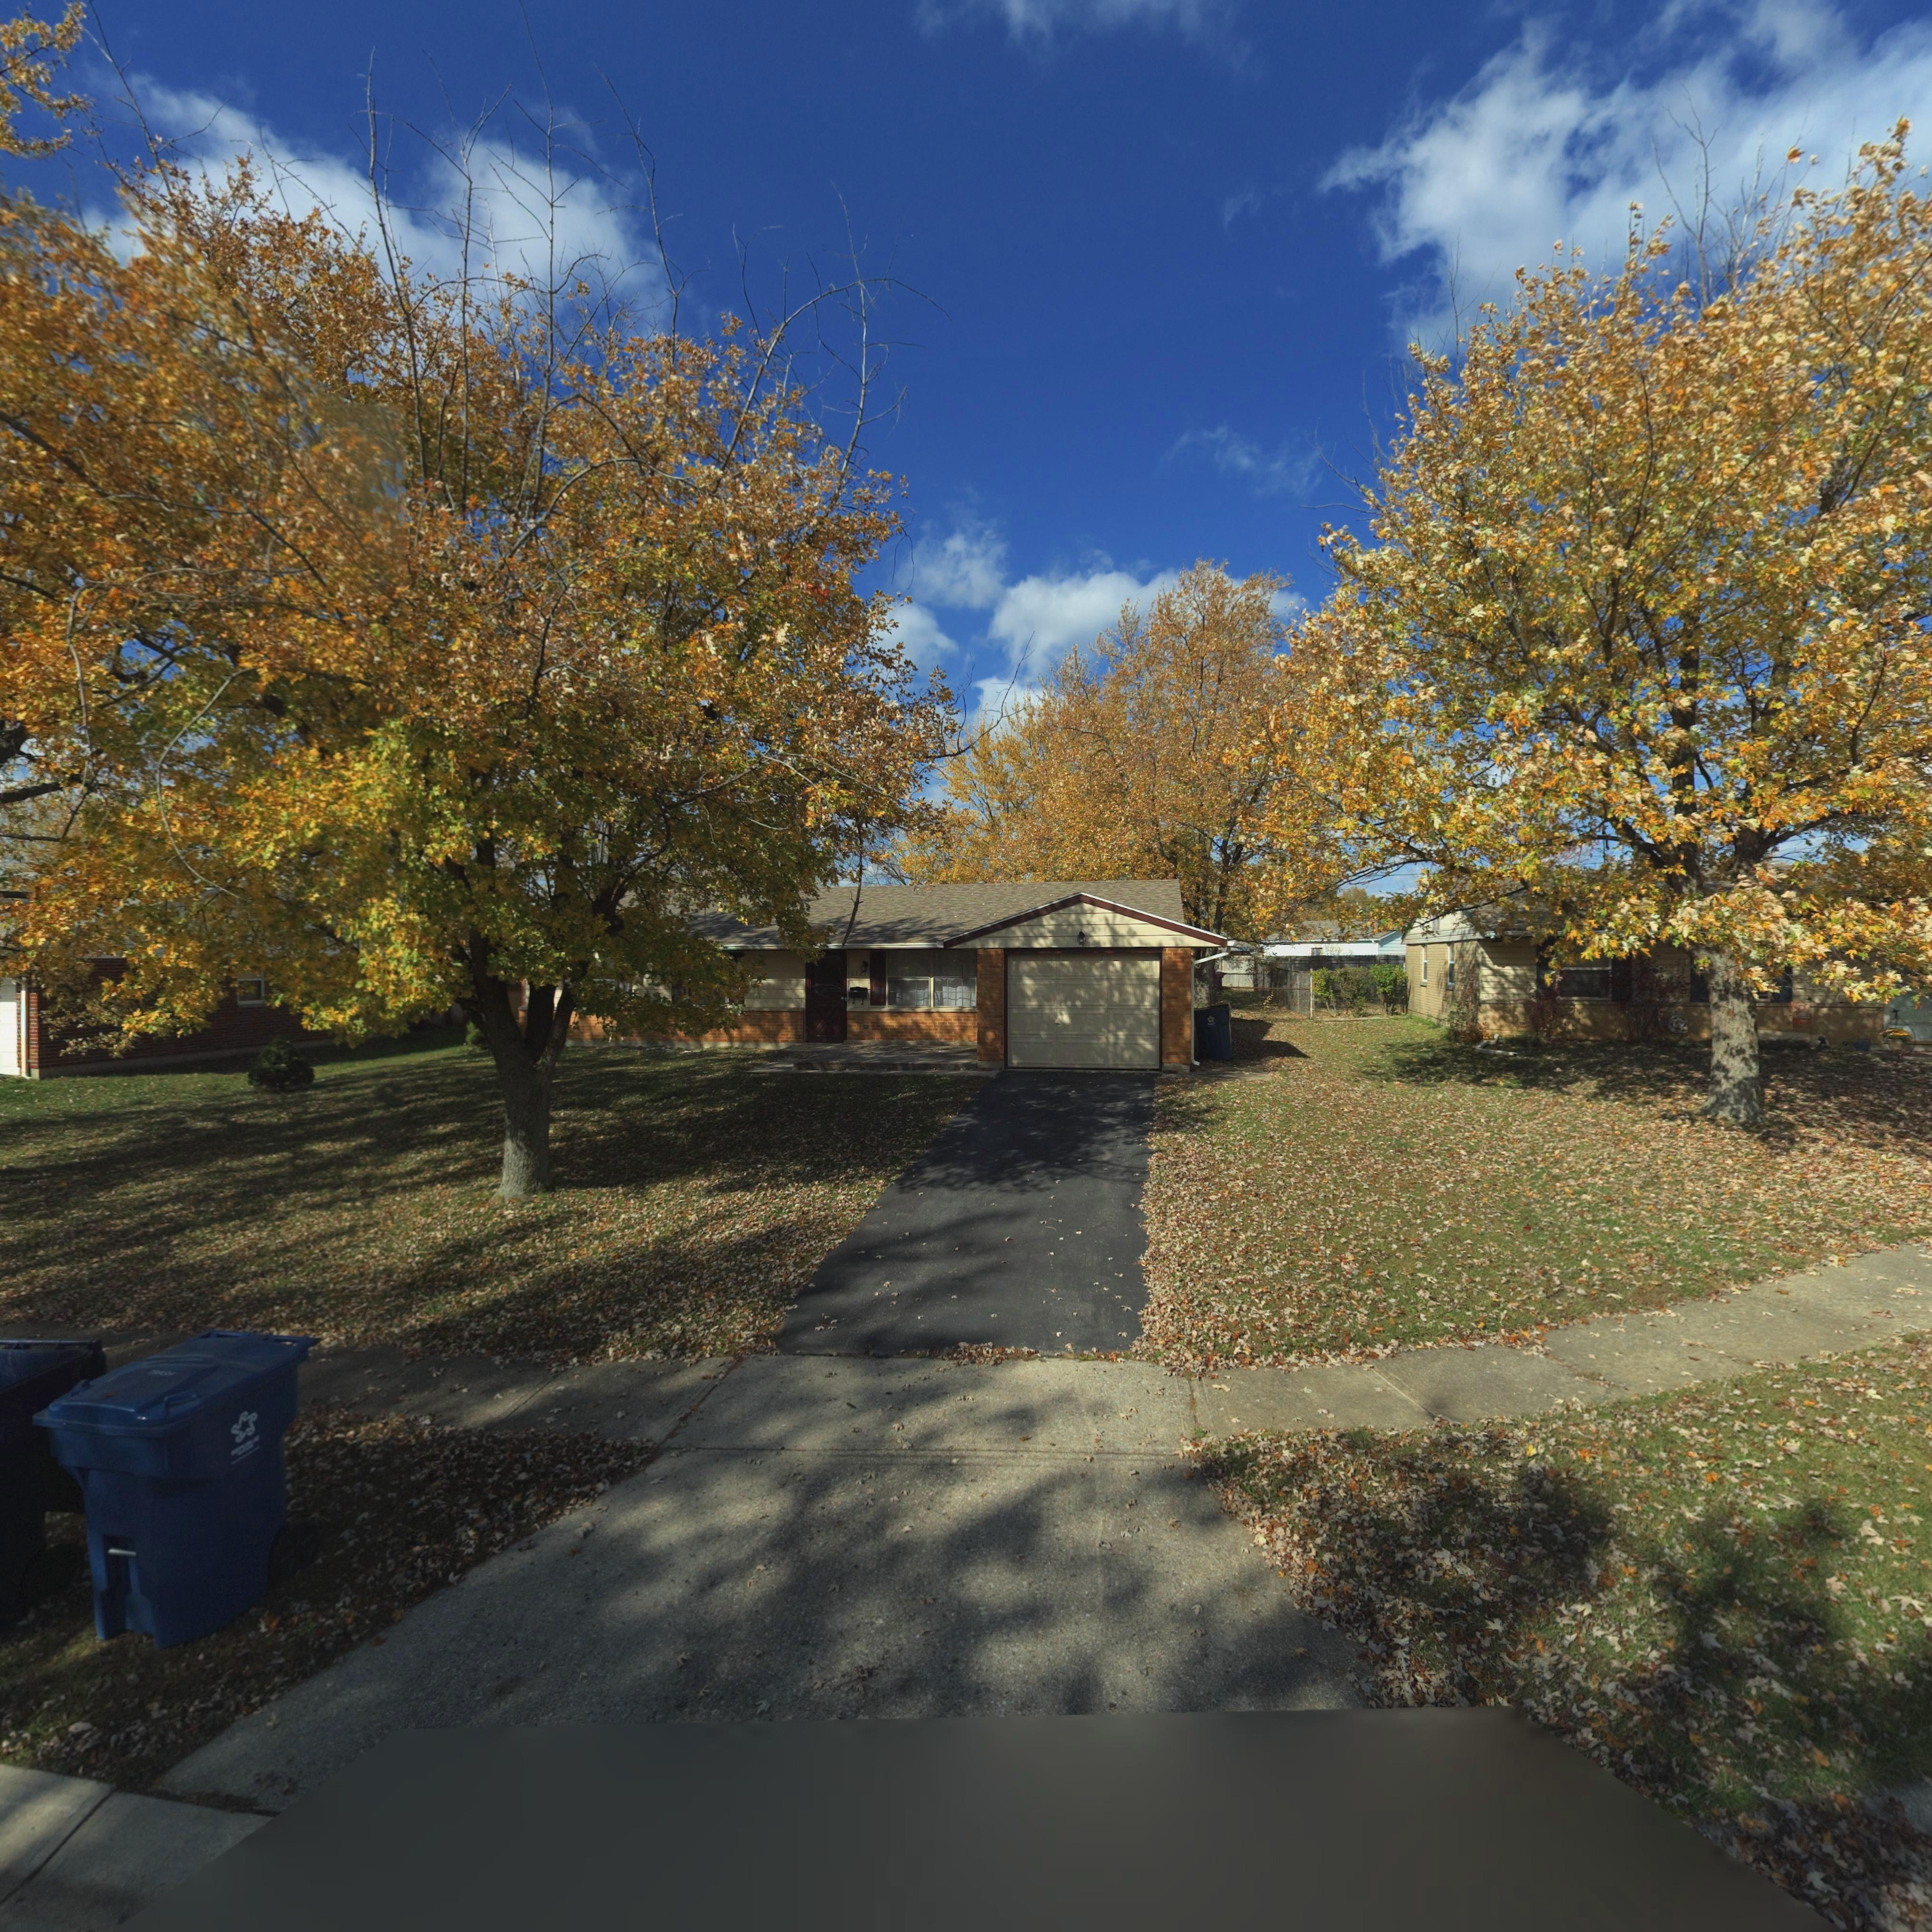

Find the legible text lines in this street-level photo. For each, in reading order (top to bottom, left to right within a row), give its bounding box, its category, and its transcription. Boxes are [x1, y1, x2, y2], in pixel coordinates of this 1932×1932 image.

[850, 971, 862, 976] StreetNumber: 612